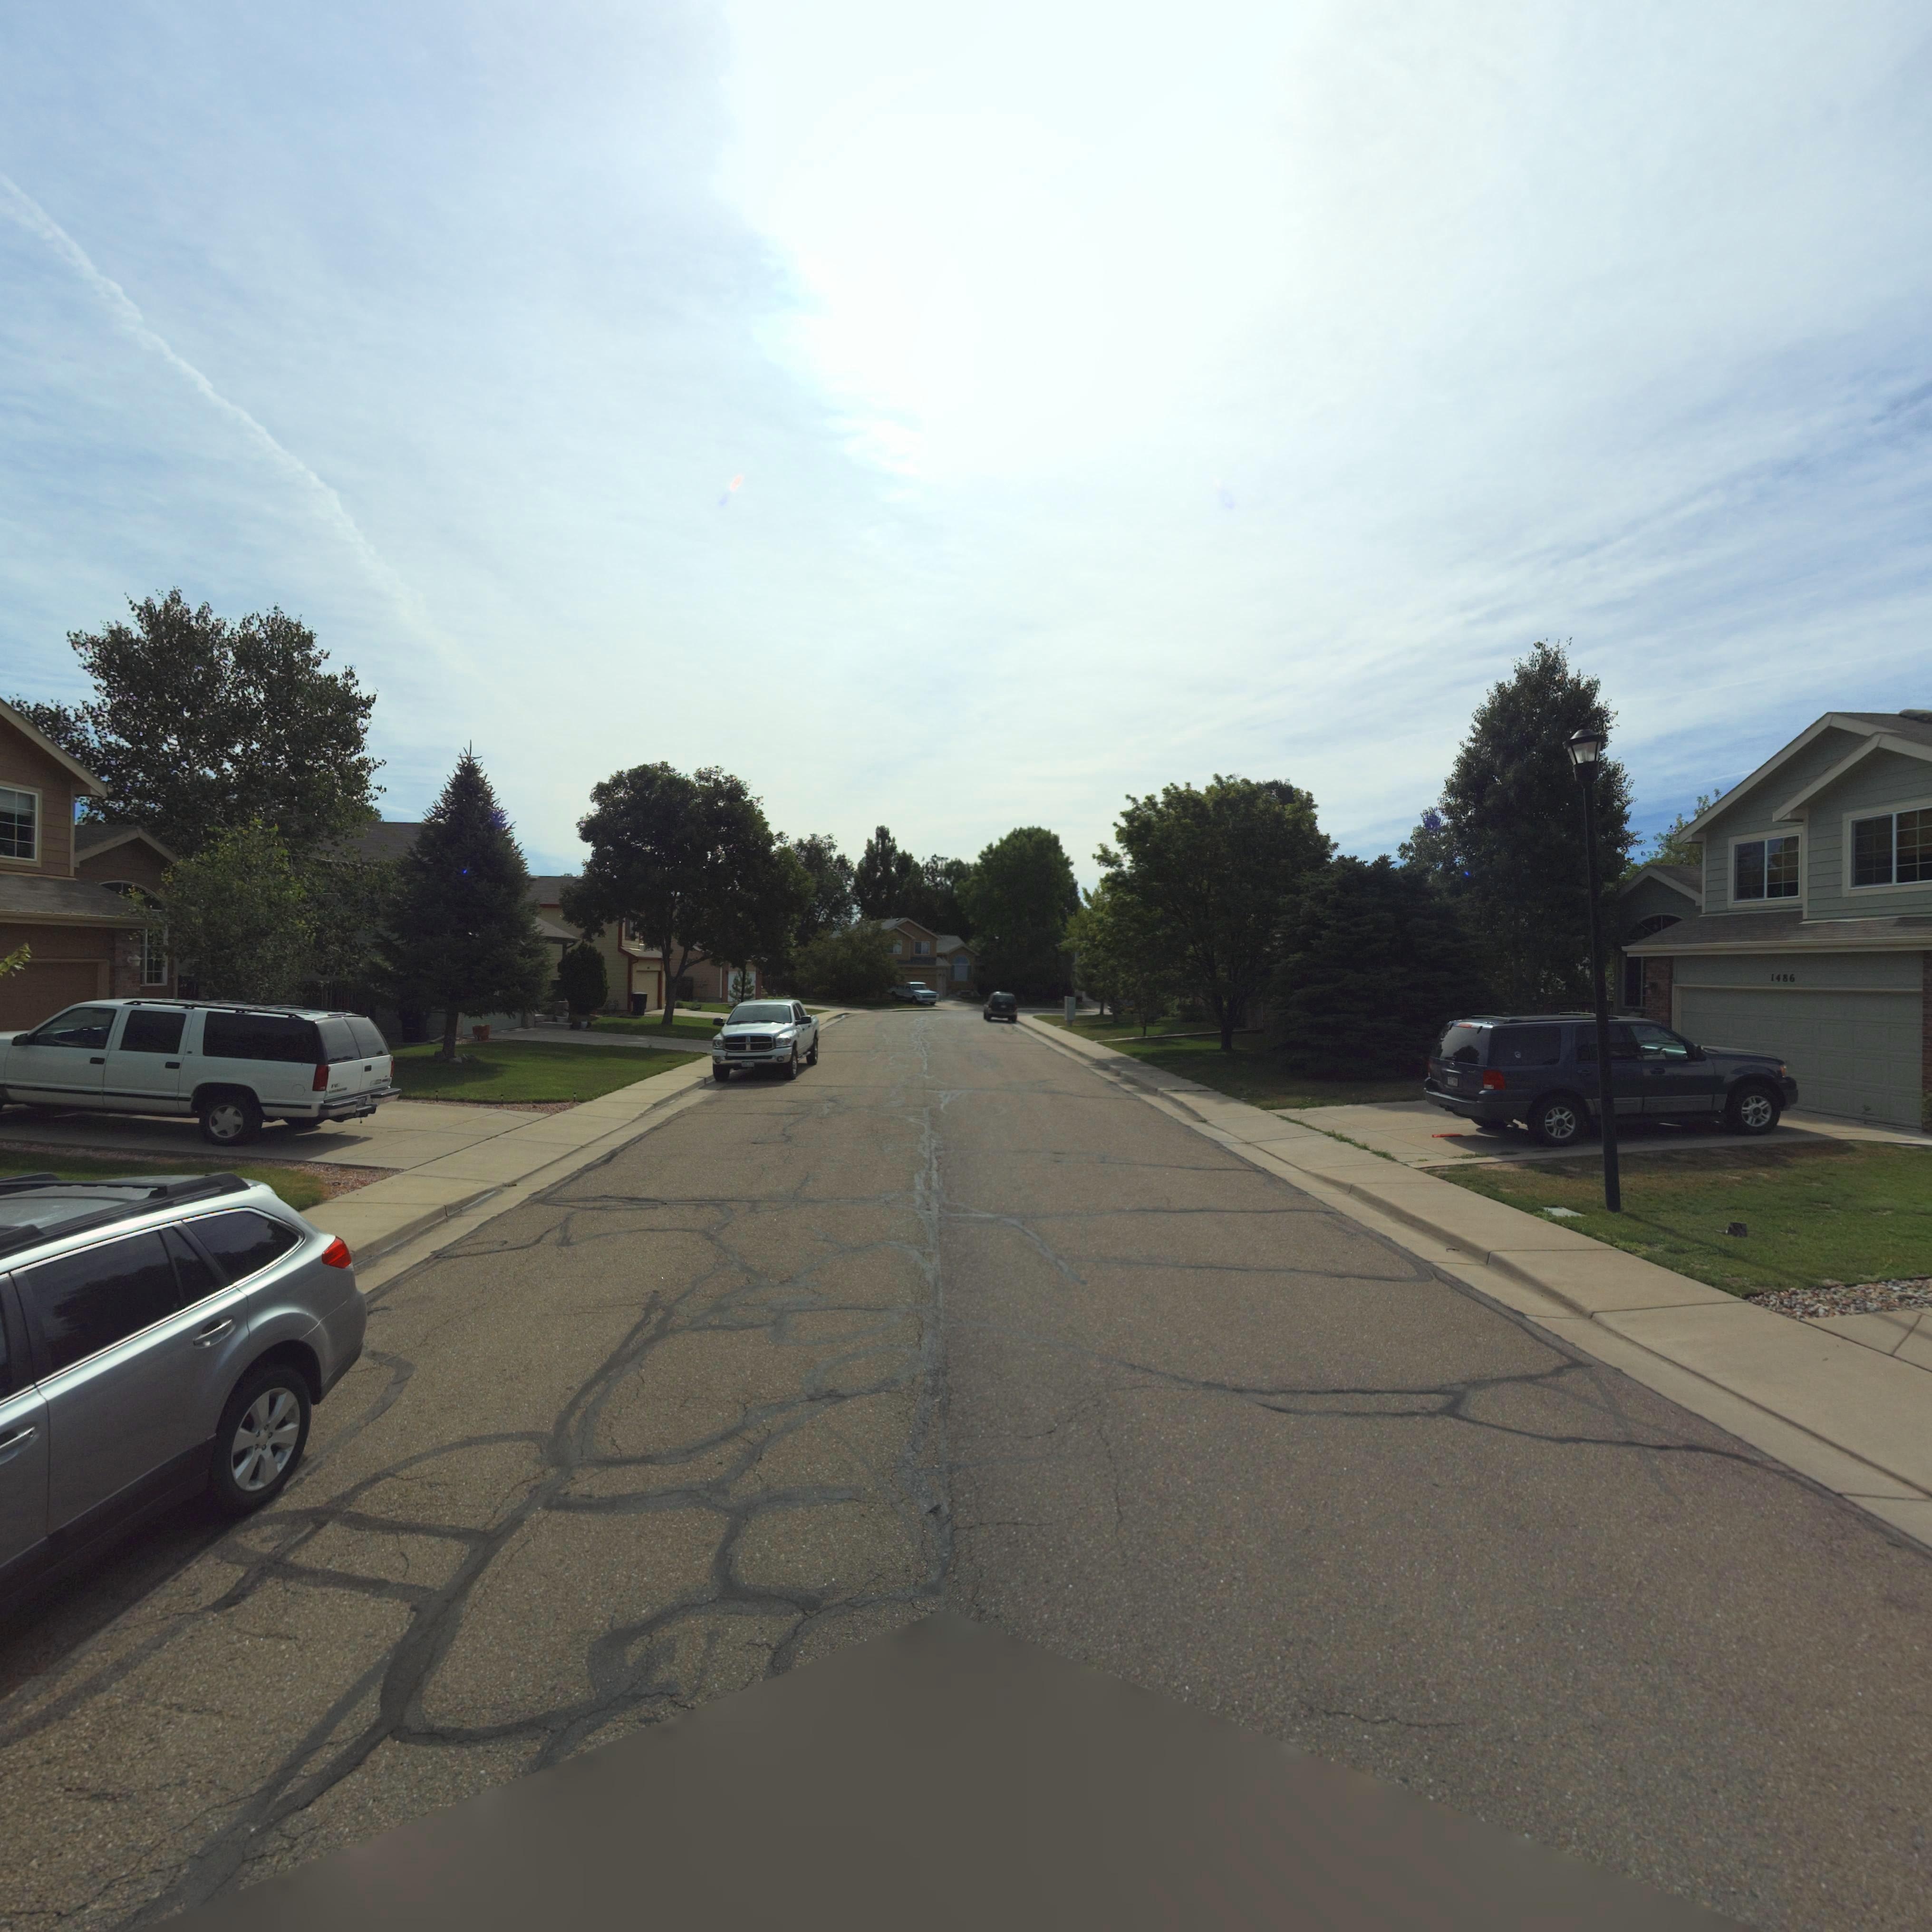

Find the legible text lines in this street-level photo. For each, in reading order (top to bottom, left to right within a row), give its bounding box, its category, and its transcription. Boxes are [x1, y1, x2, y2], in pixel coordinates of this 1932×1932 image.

[1769, 973, 1796, 982] StreetNumber: 1486